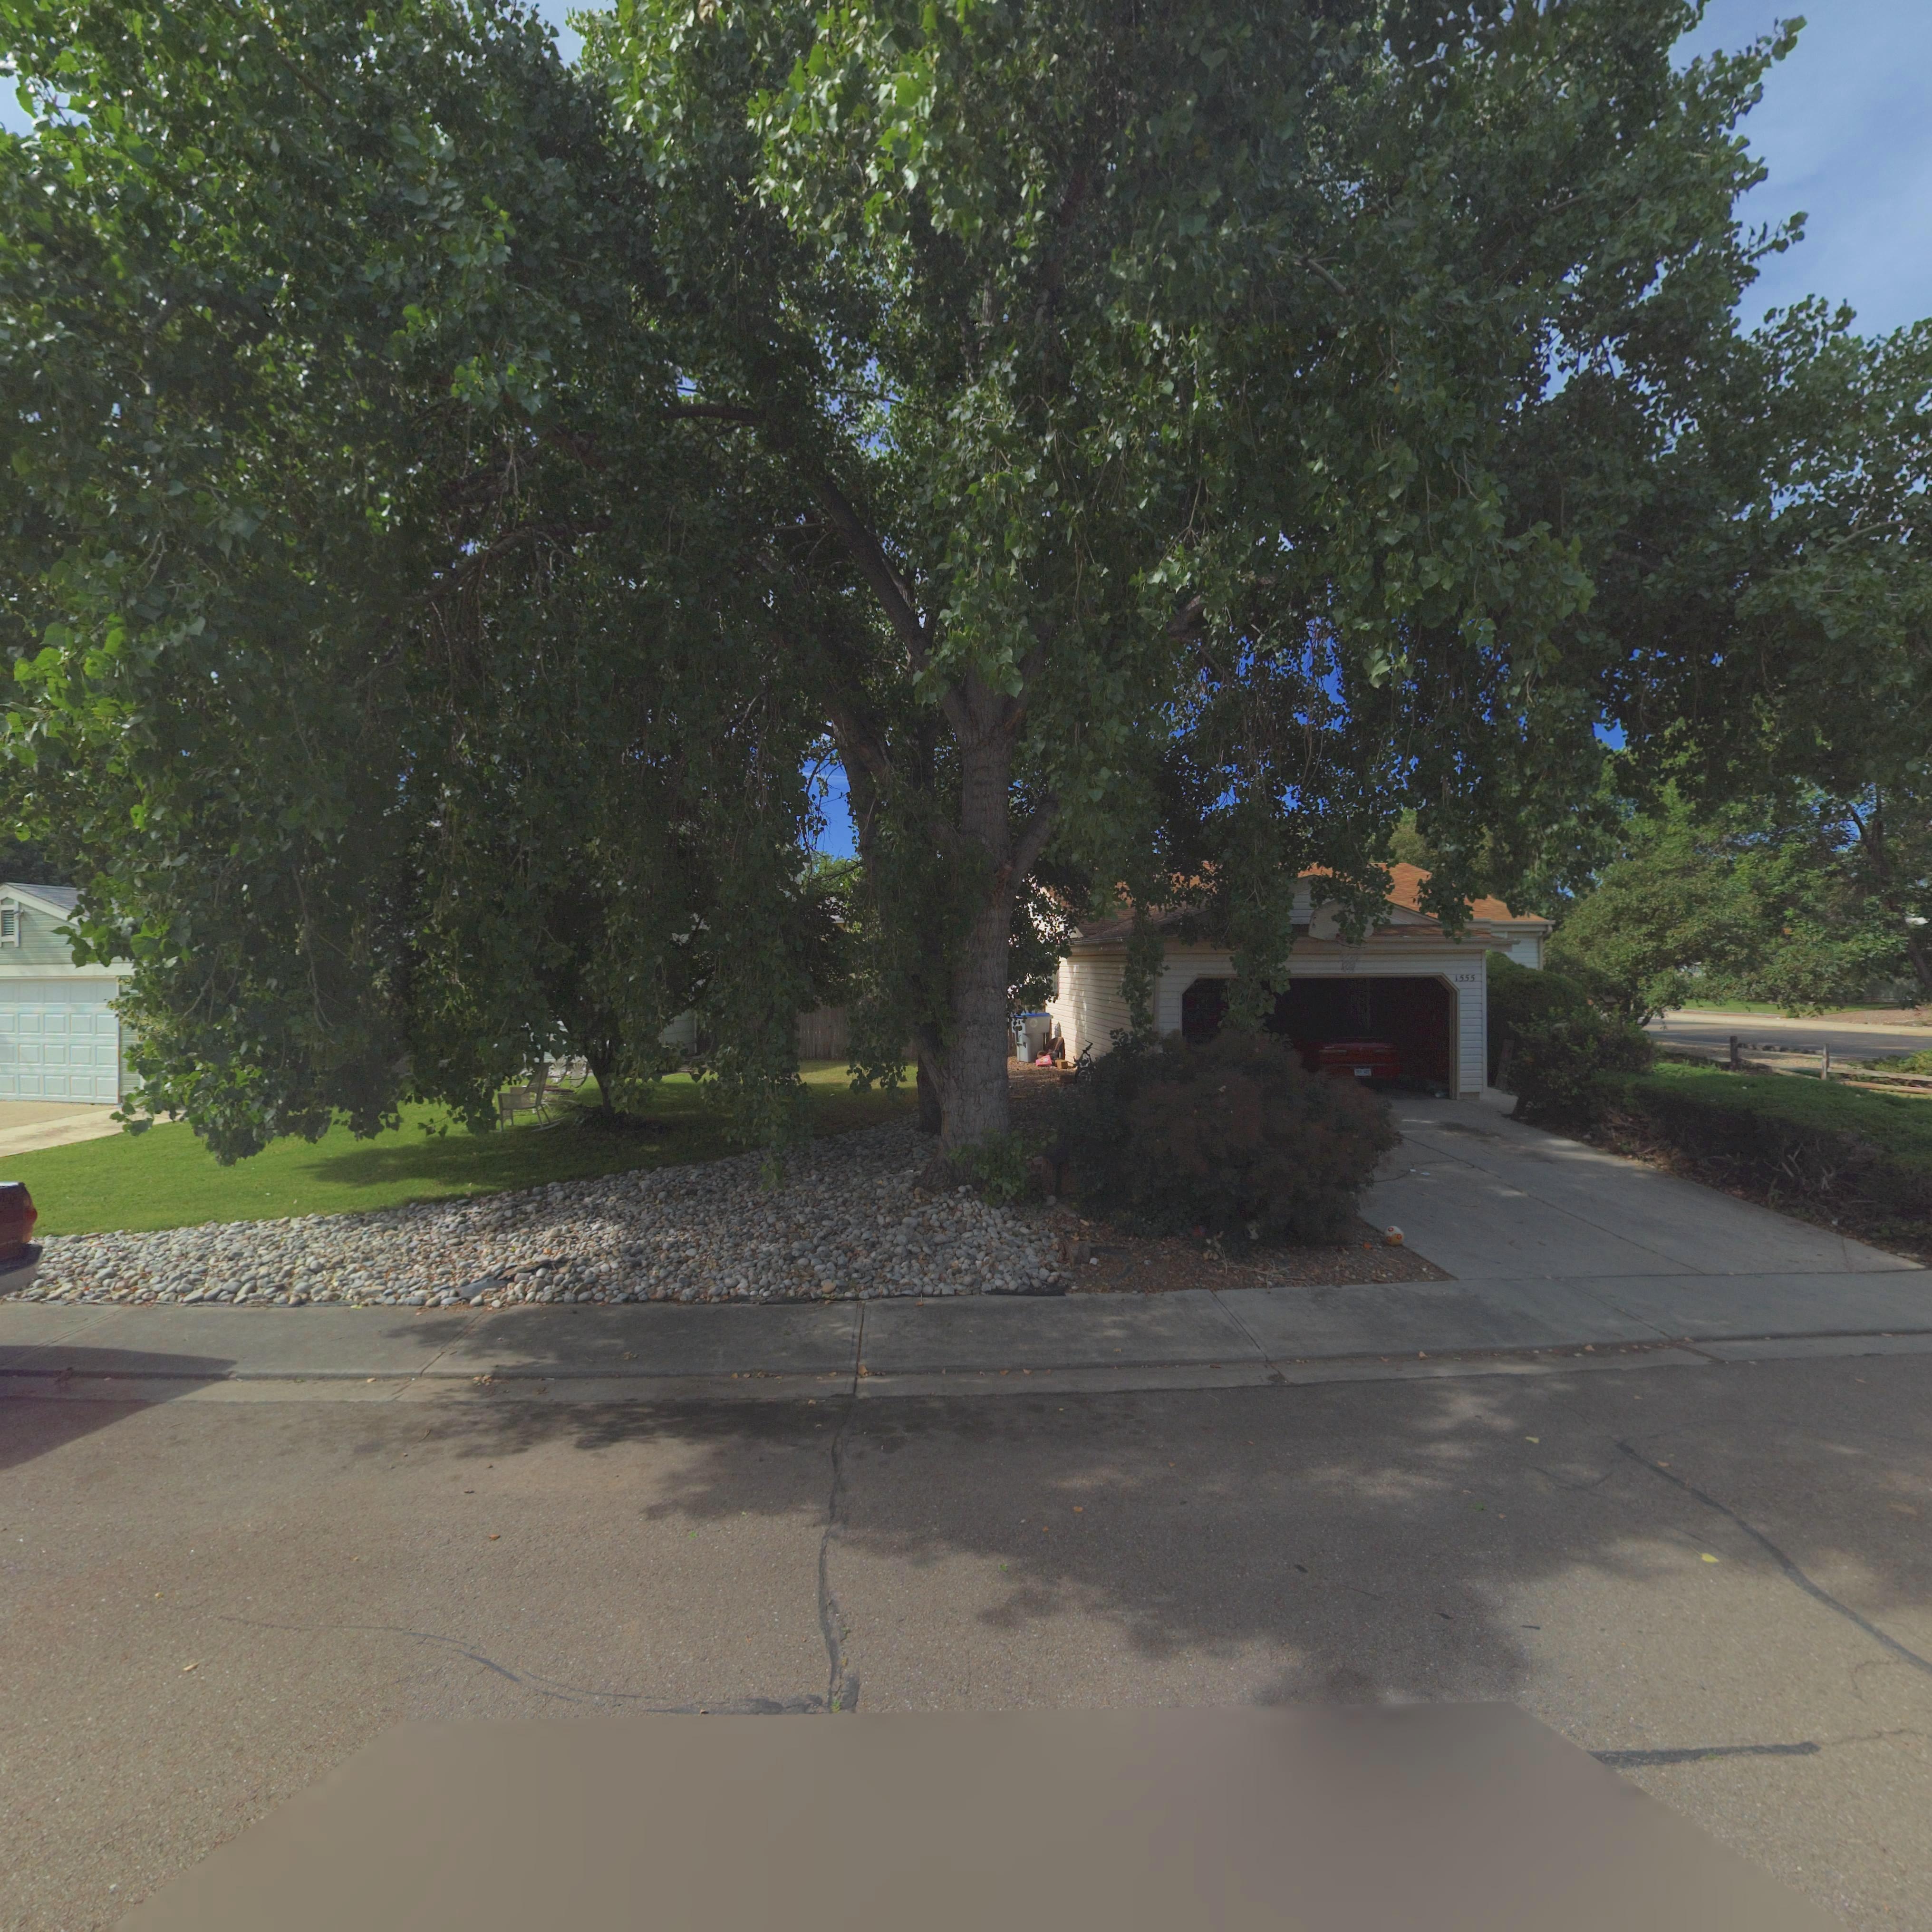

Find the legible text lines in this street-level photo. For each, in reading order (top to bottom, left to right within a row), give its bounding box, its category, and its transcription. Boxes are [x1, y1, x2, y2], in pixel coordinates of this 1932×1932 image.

[1454, 974, 1475, 982] StreetNumber: 1555